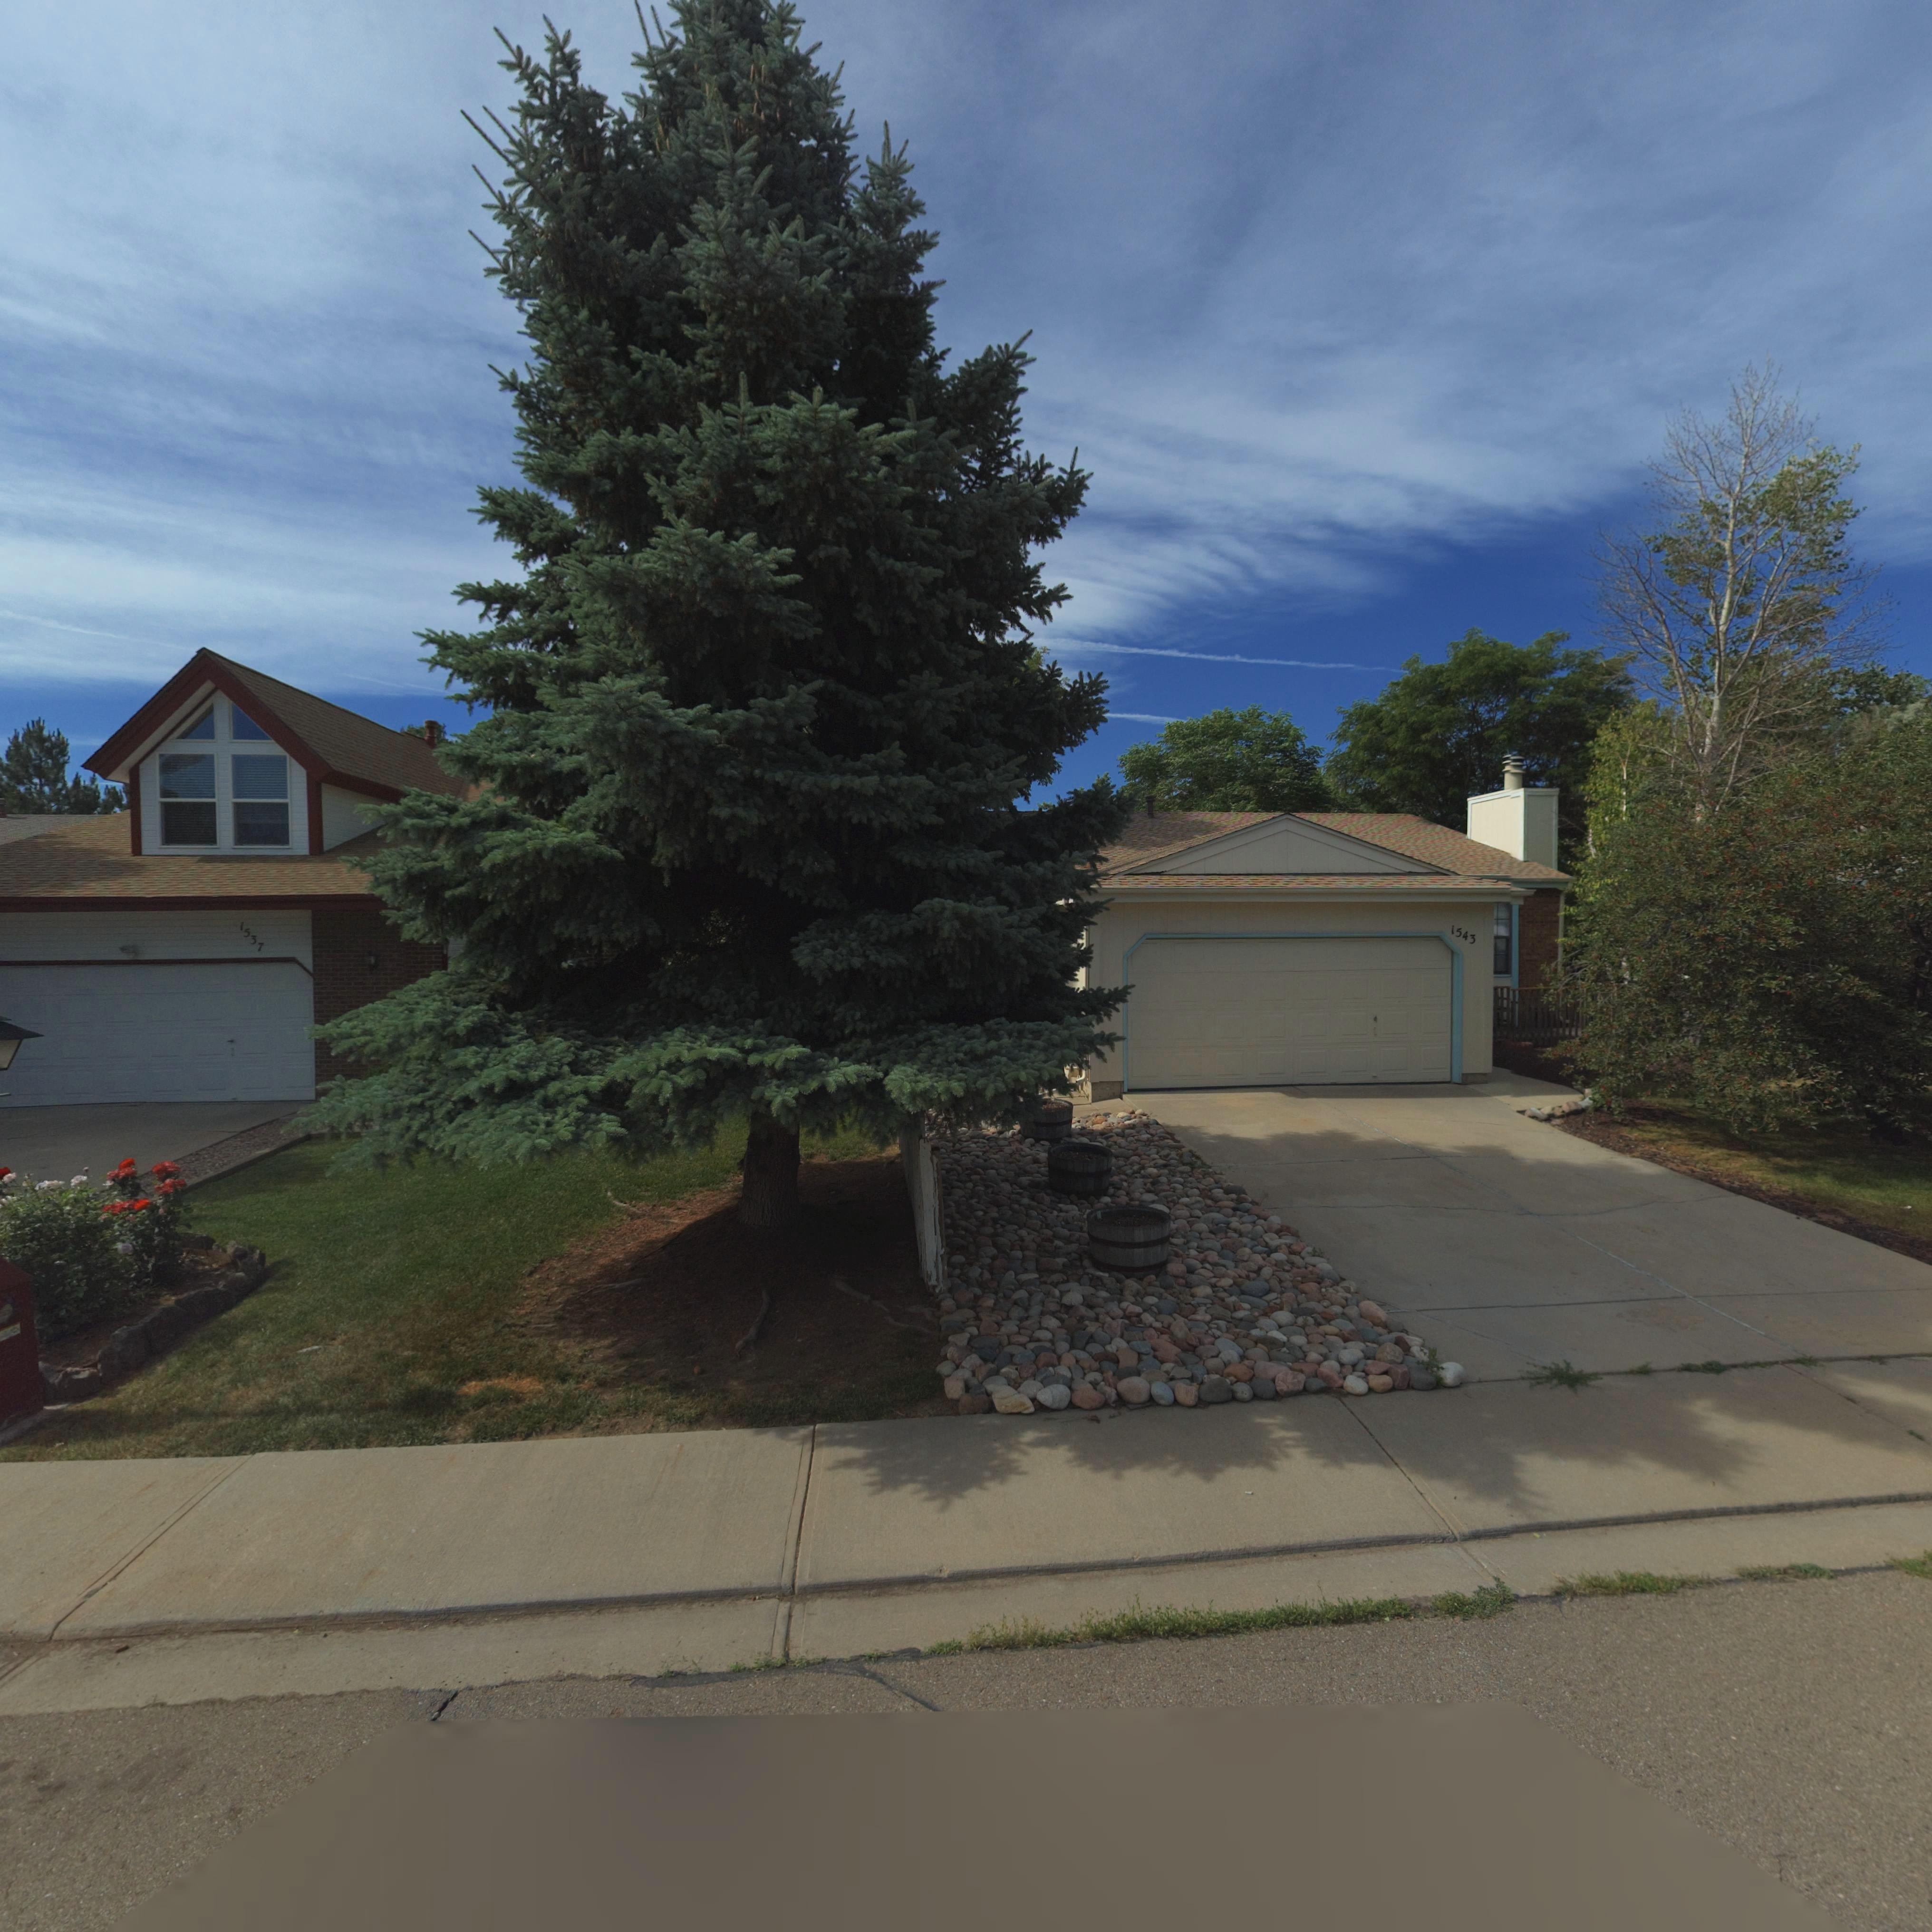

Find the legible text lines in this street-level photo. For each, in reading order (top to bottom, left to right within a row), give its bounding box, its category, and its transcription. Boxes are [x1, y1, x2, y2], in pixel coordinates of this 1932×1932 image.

[237, 918, 266, 954] StreetNumber: 1537
[1451, 925, 1476, 944] StreetNumber: 1543